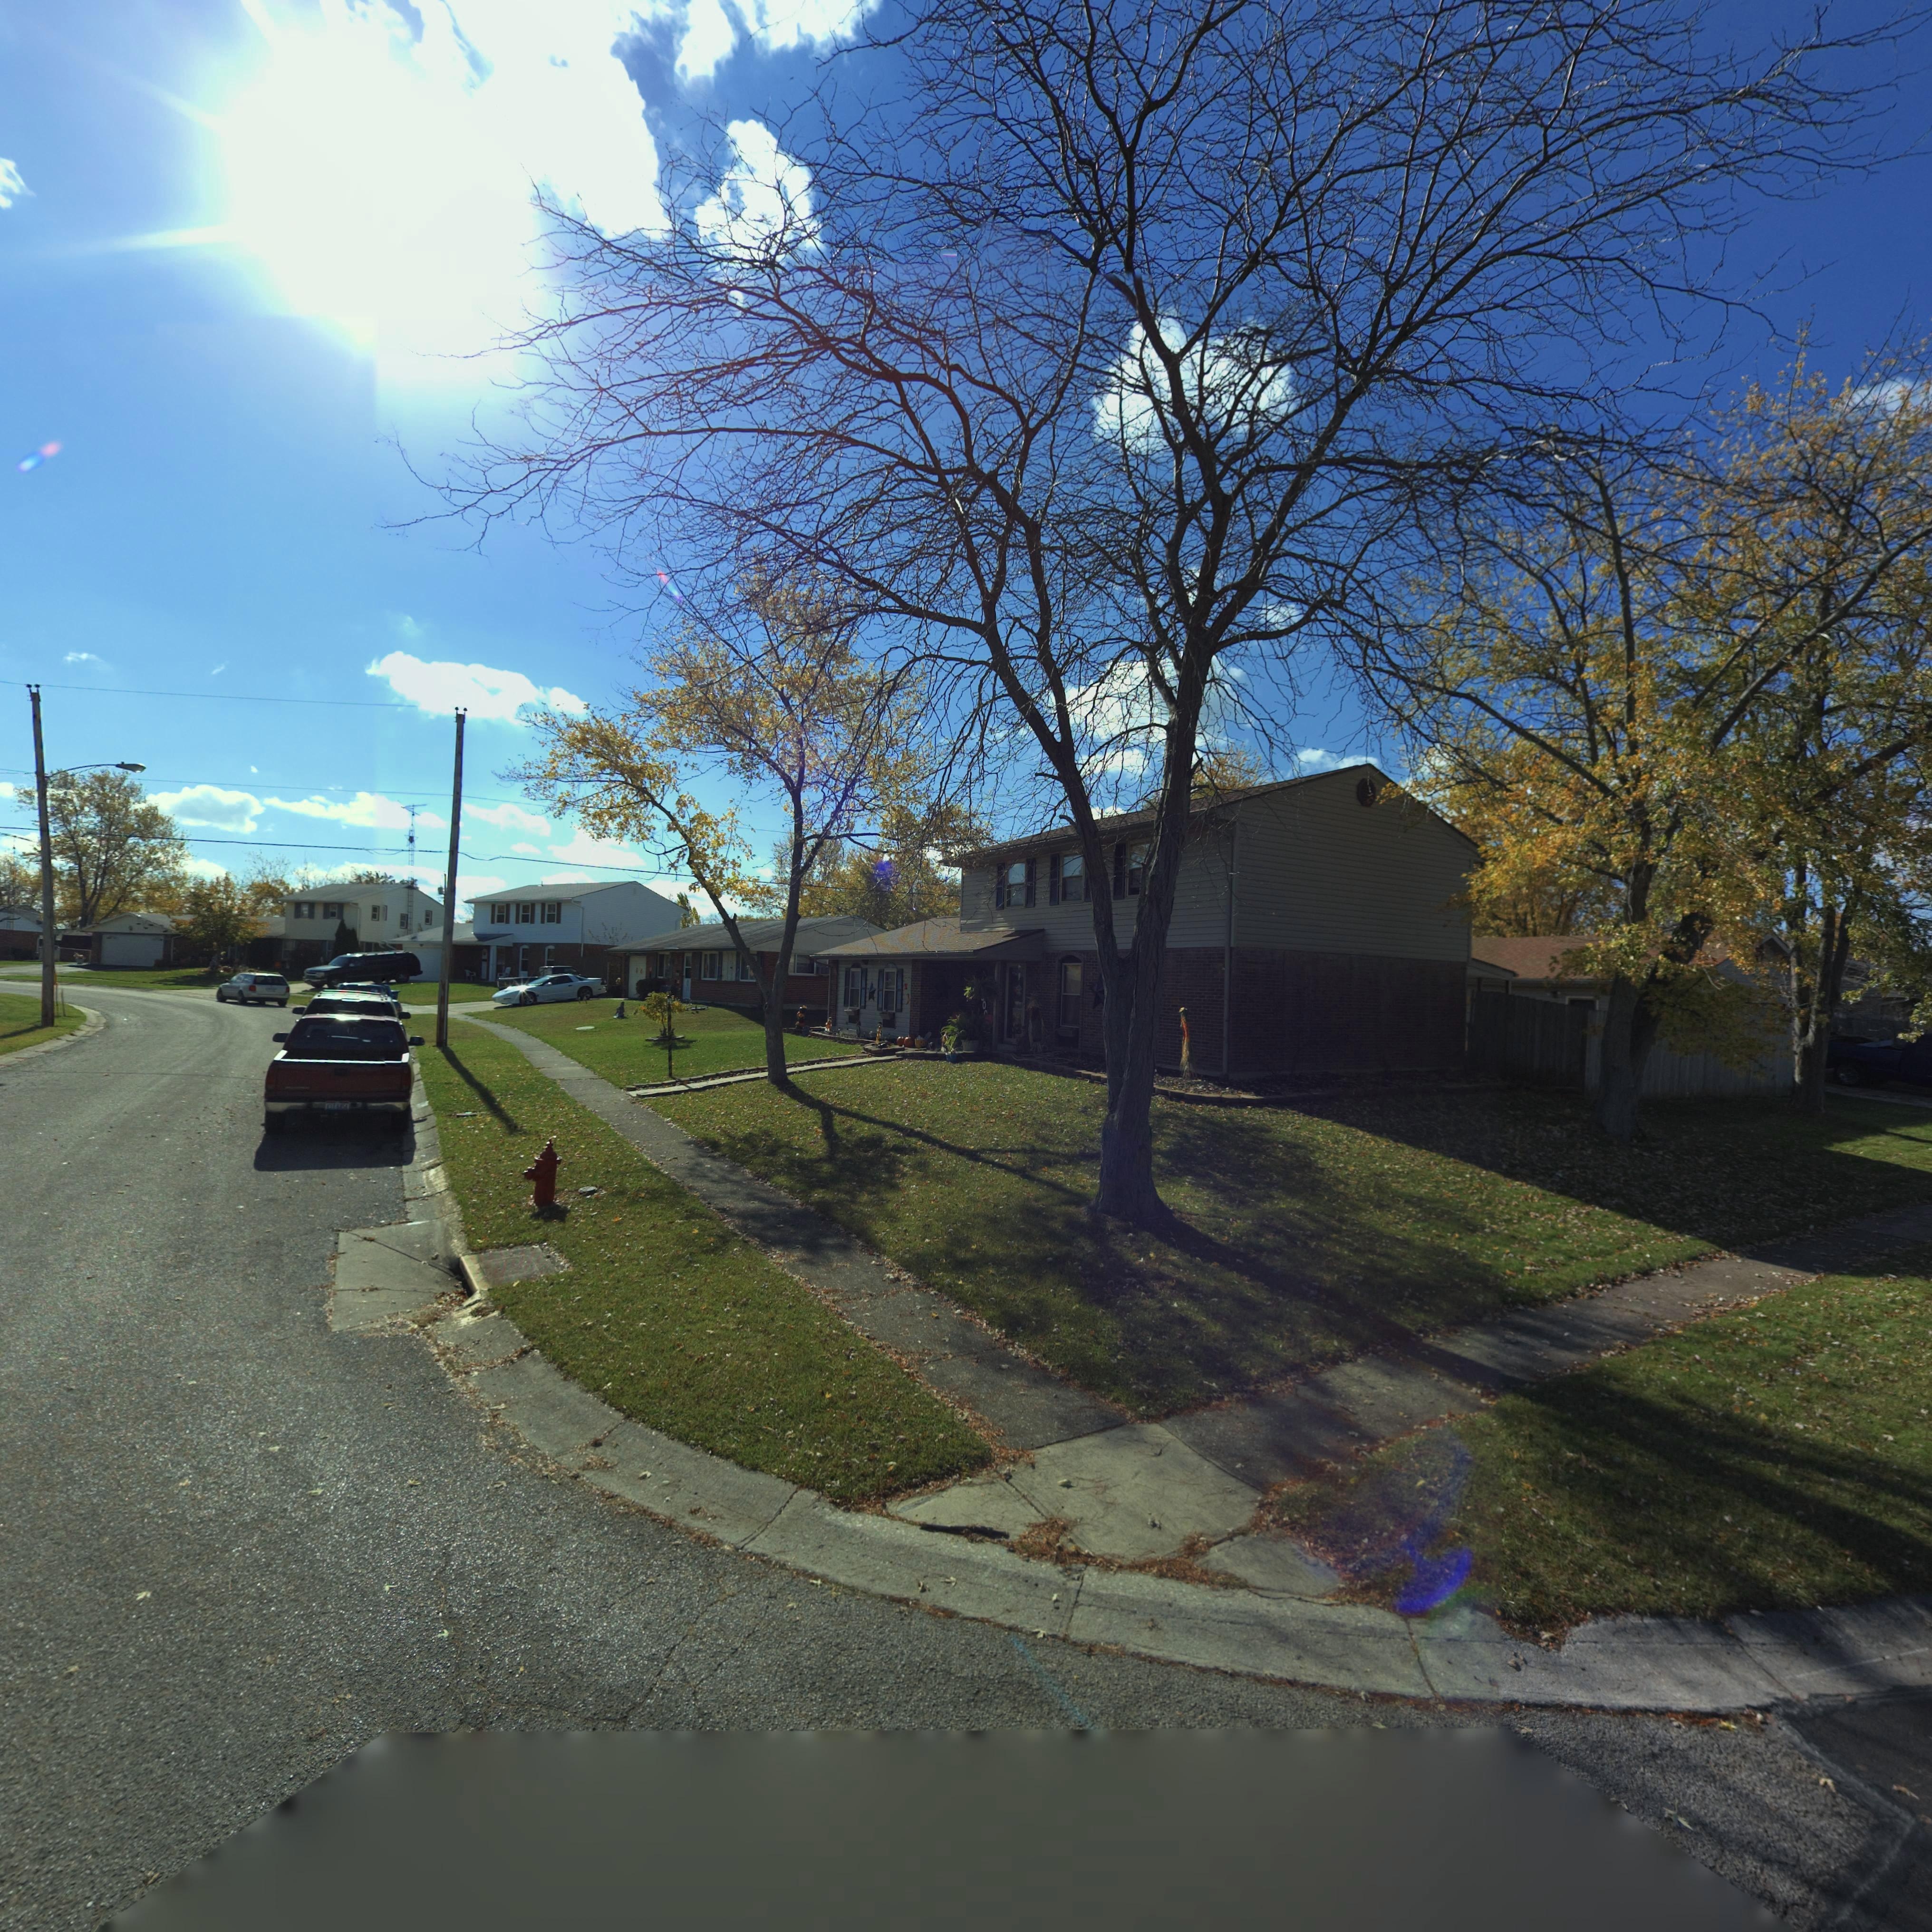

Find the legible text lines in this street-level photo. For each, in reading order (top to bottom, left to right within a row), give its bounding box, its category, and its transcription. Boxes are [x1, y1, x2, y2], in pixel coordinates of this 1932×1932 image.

[981, 1000, 987, 1010] StreetNumber: 0